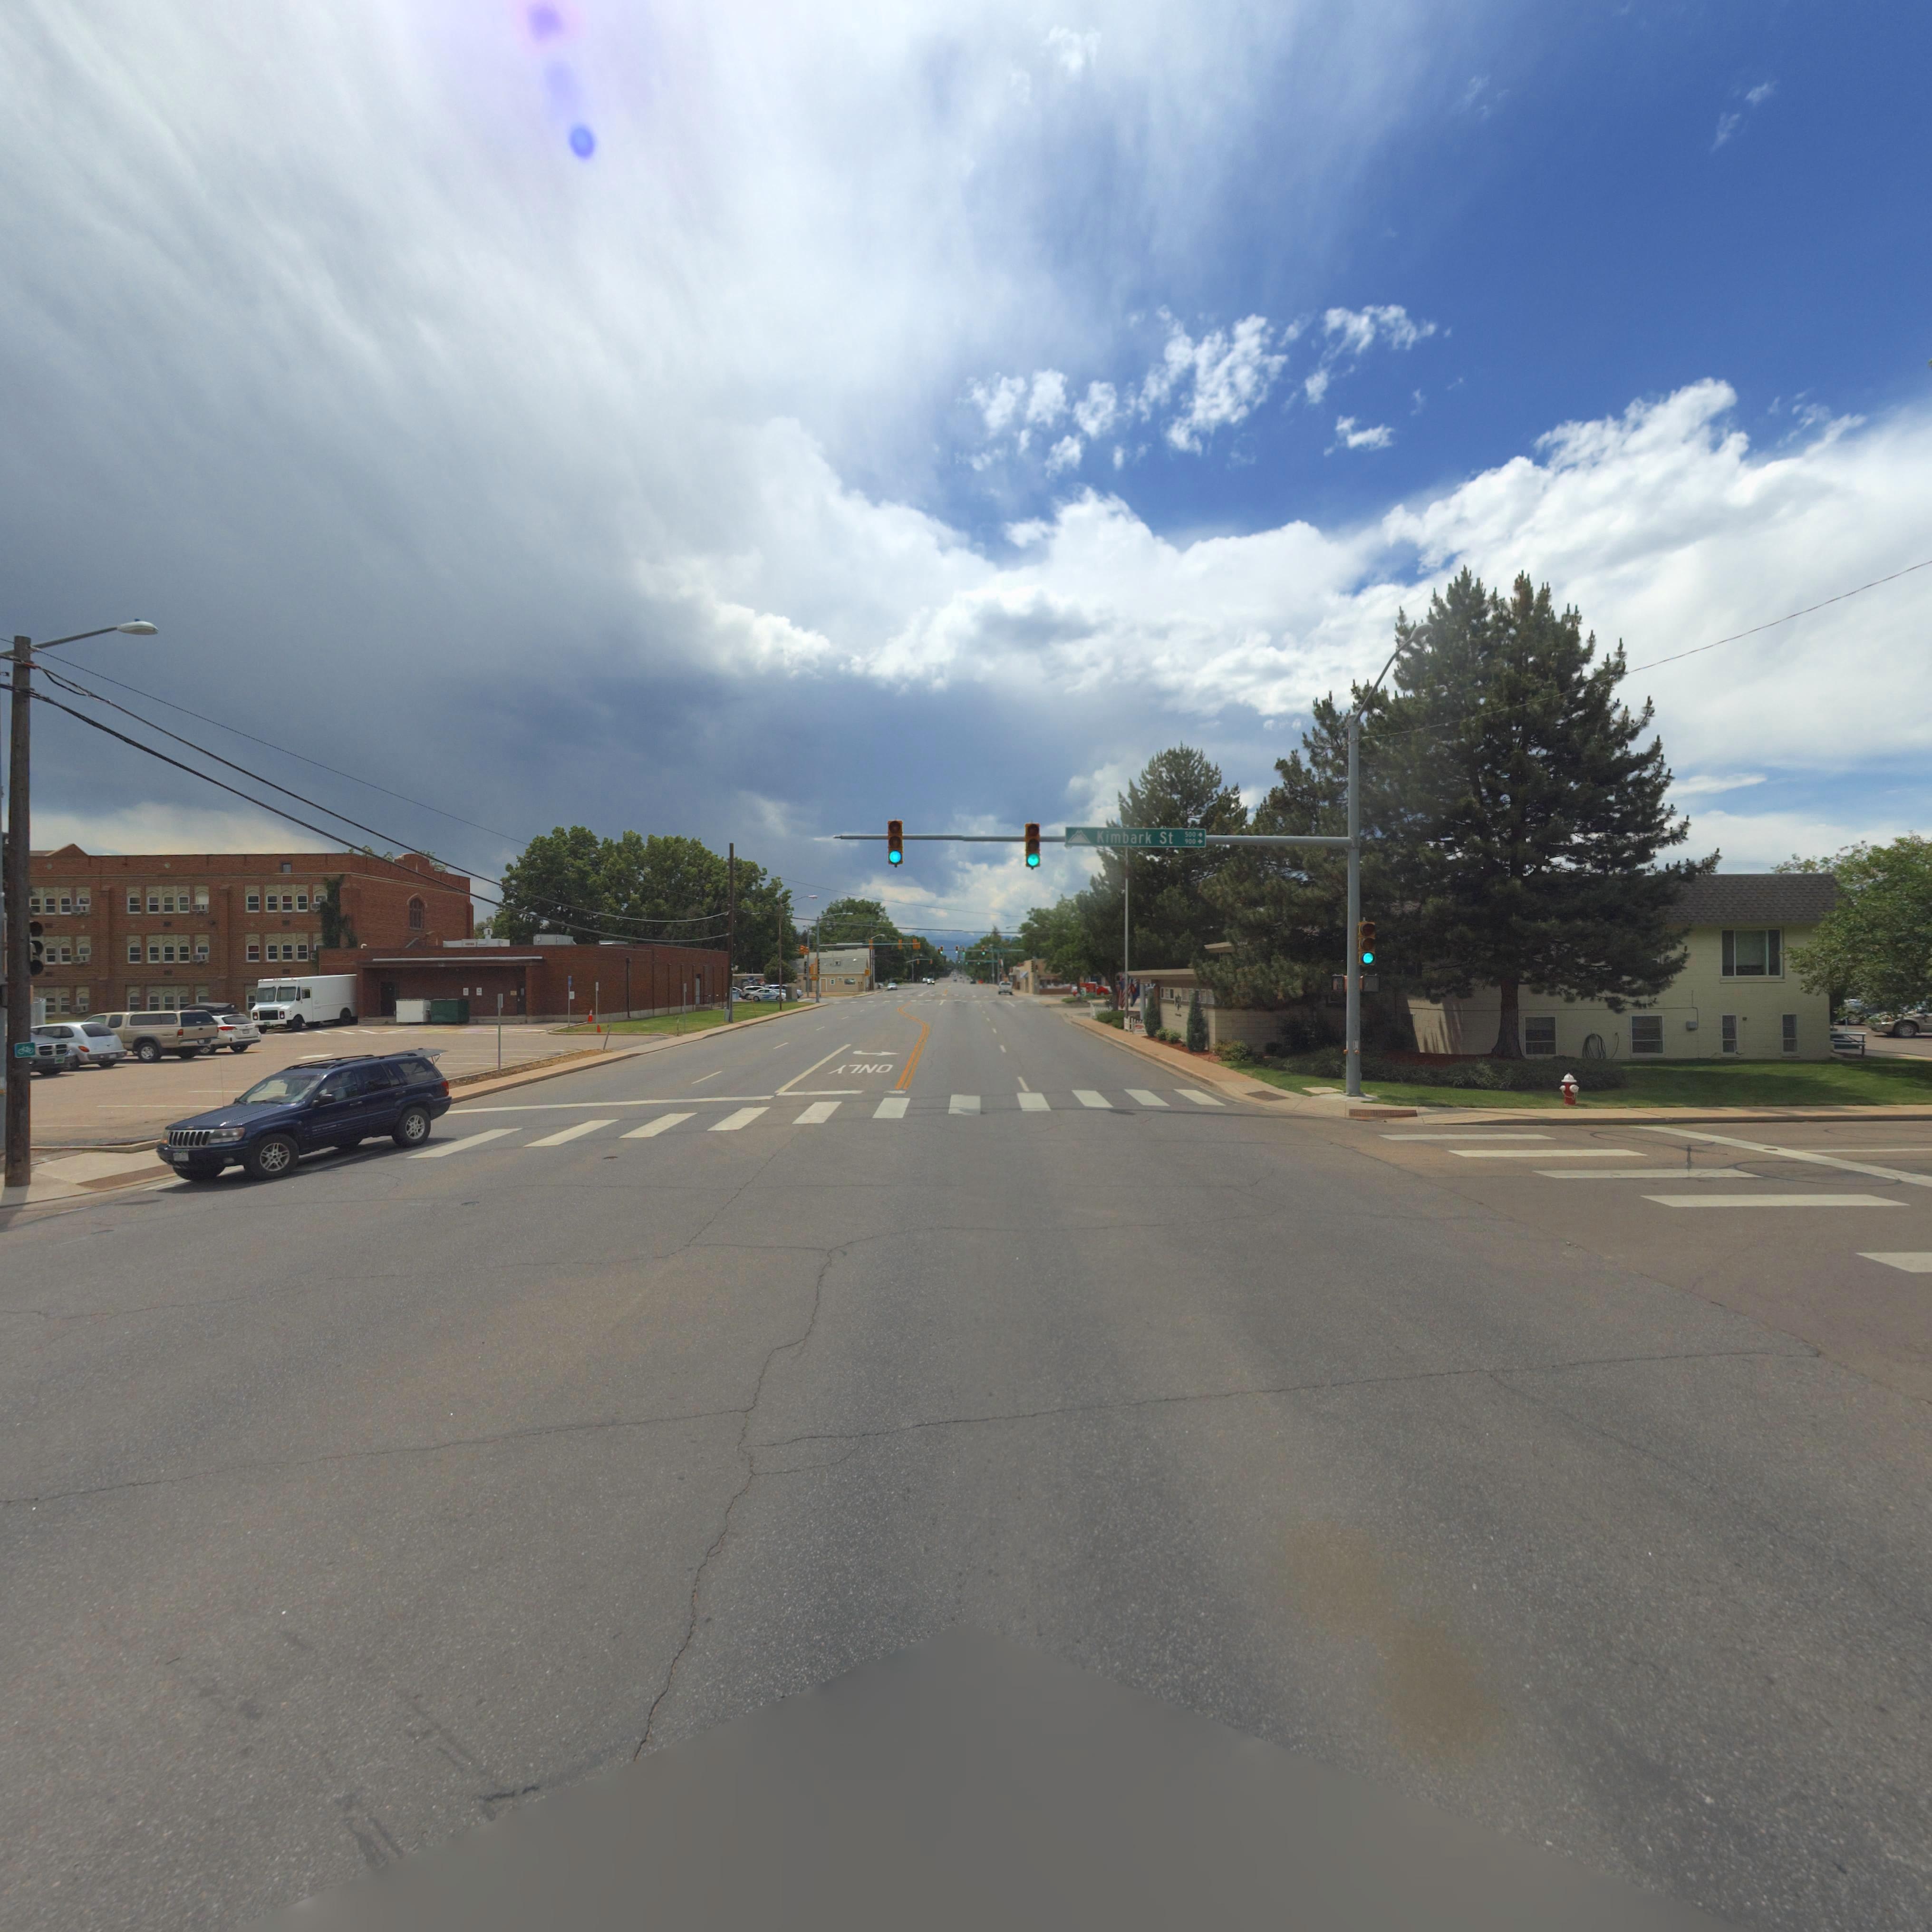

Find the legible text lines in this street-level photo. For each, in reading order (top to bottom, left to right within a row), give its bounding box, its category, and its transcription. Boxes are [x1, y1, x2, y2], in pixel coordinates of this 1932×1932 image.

[1097, 830, 1173, 844] StreetName: Kimbark St
[1184, 831, 1196, 837] StreetNumberRange: 500
[1184, 838, 1203, 844] StreetNumberRange: 900->